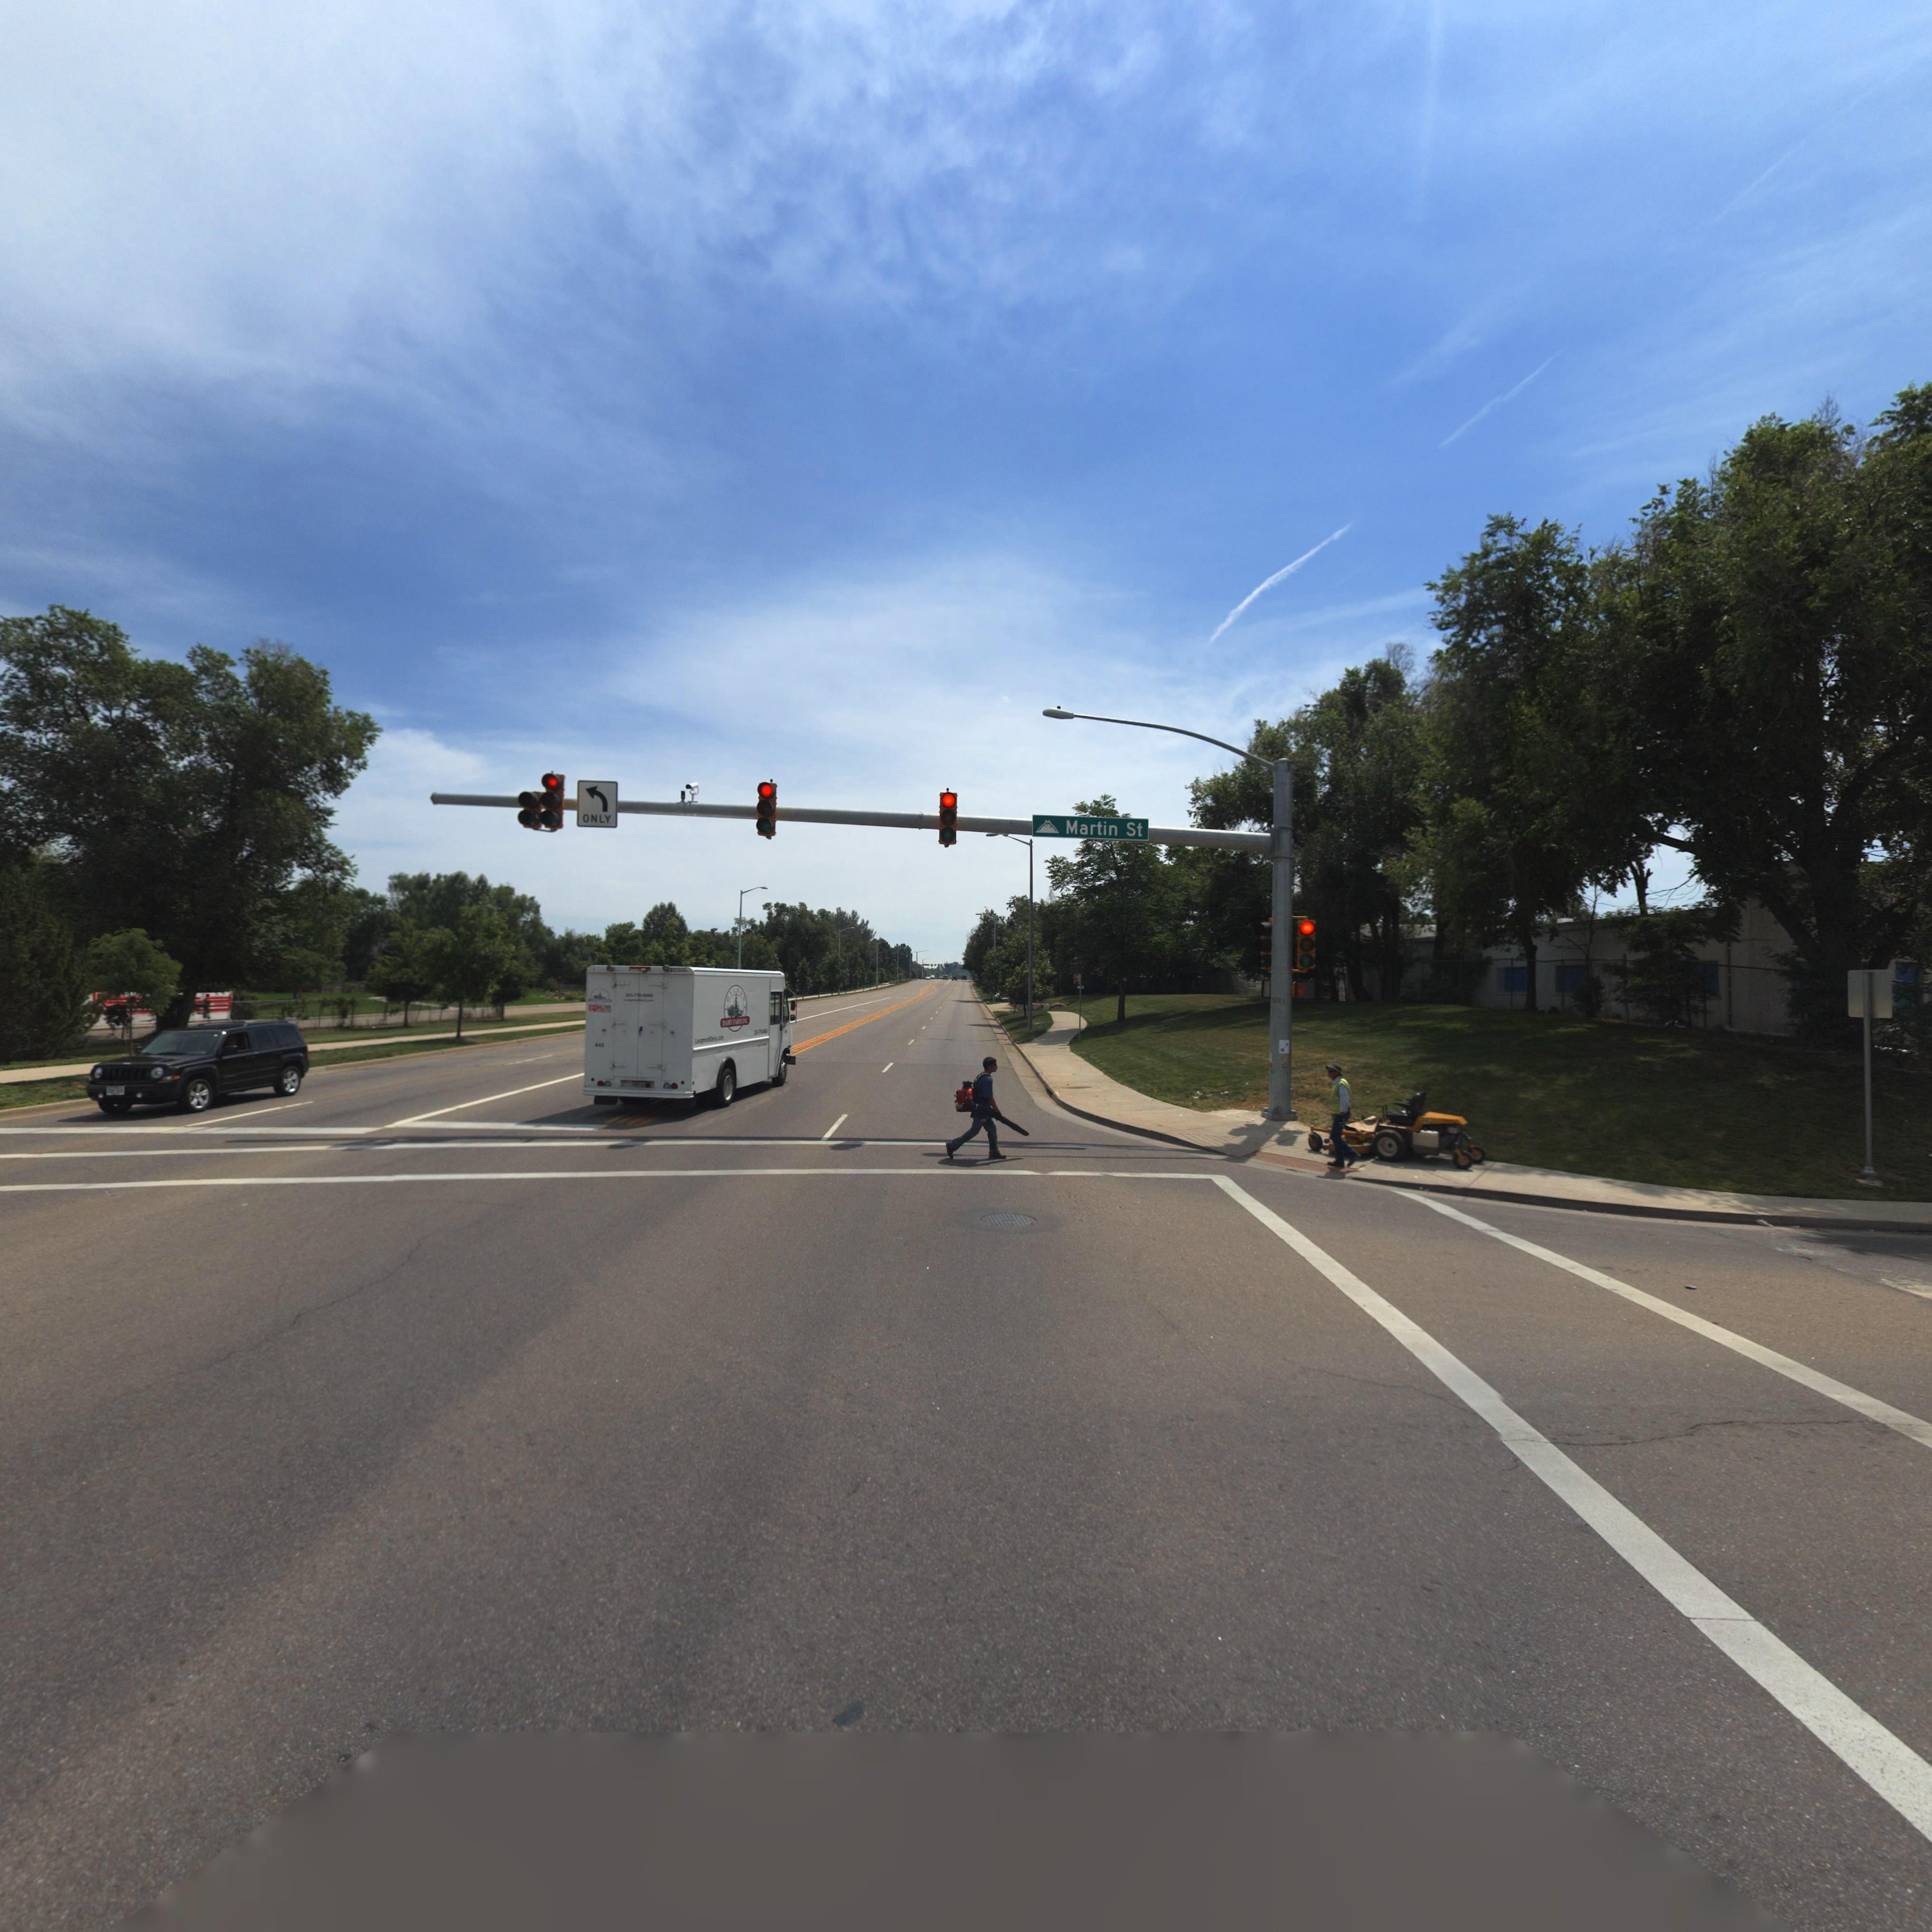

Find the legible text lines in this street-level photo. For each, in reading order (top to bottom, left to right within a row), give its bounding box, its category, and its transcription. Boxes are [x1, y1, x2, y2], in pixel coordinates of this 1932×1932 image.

[1065, 818, 1144, 838] StreetName: Martin St